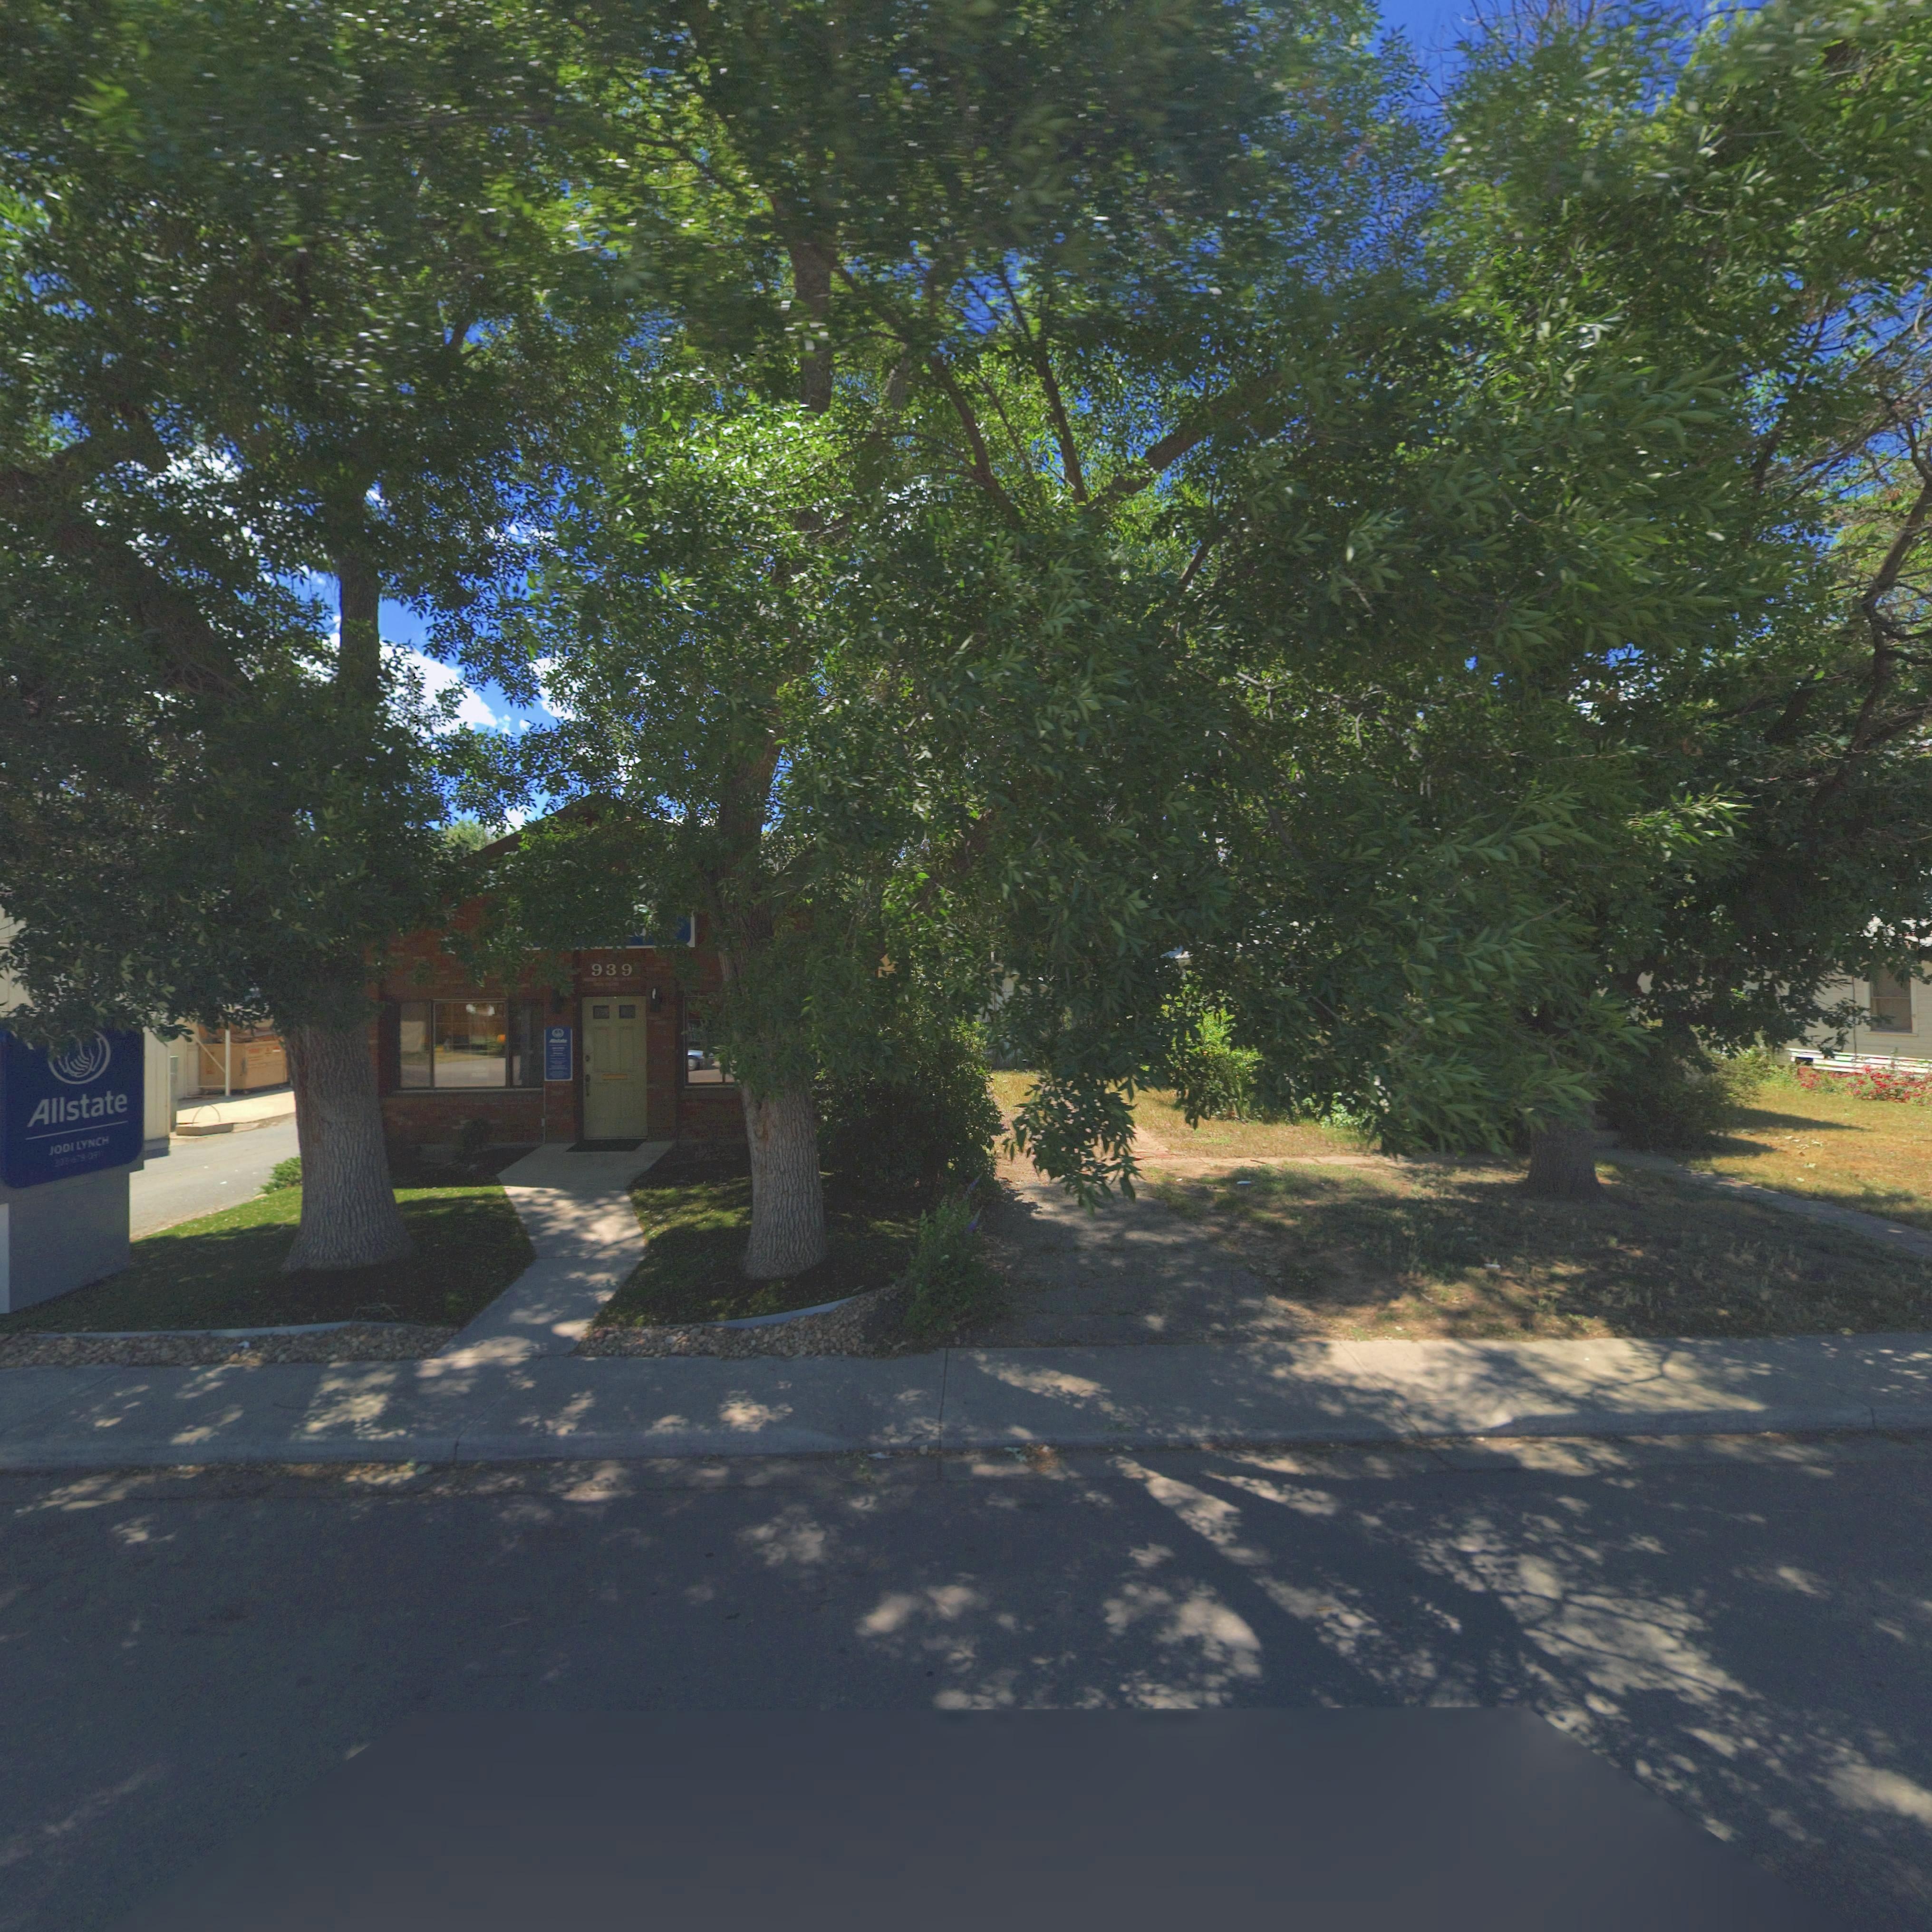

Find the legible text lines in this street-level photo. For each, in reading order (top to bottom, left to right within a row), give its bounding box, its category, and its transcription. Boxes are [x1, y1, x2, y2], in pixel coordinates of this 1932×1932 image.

[590, 962, 633, 977] StreetNumber: 939
[549, 1038, 567, 1043] BusinessName: Allstate
[26, 1090, 128, 1128] BusinessName: Allstate
[48, 1135, 109, 1156] BusinessName: JODI LYNCH